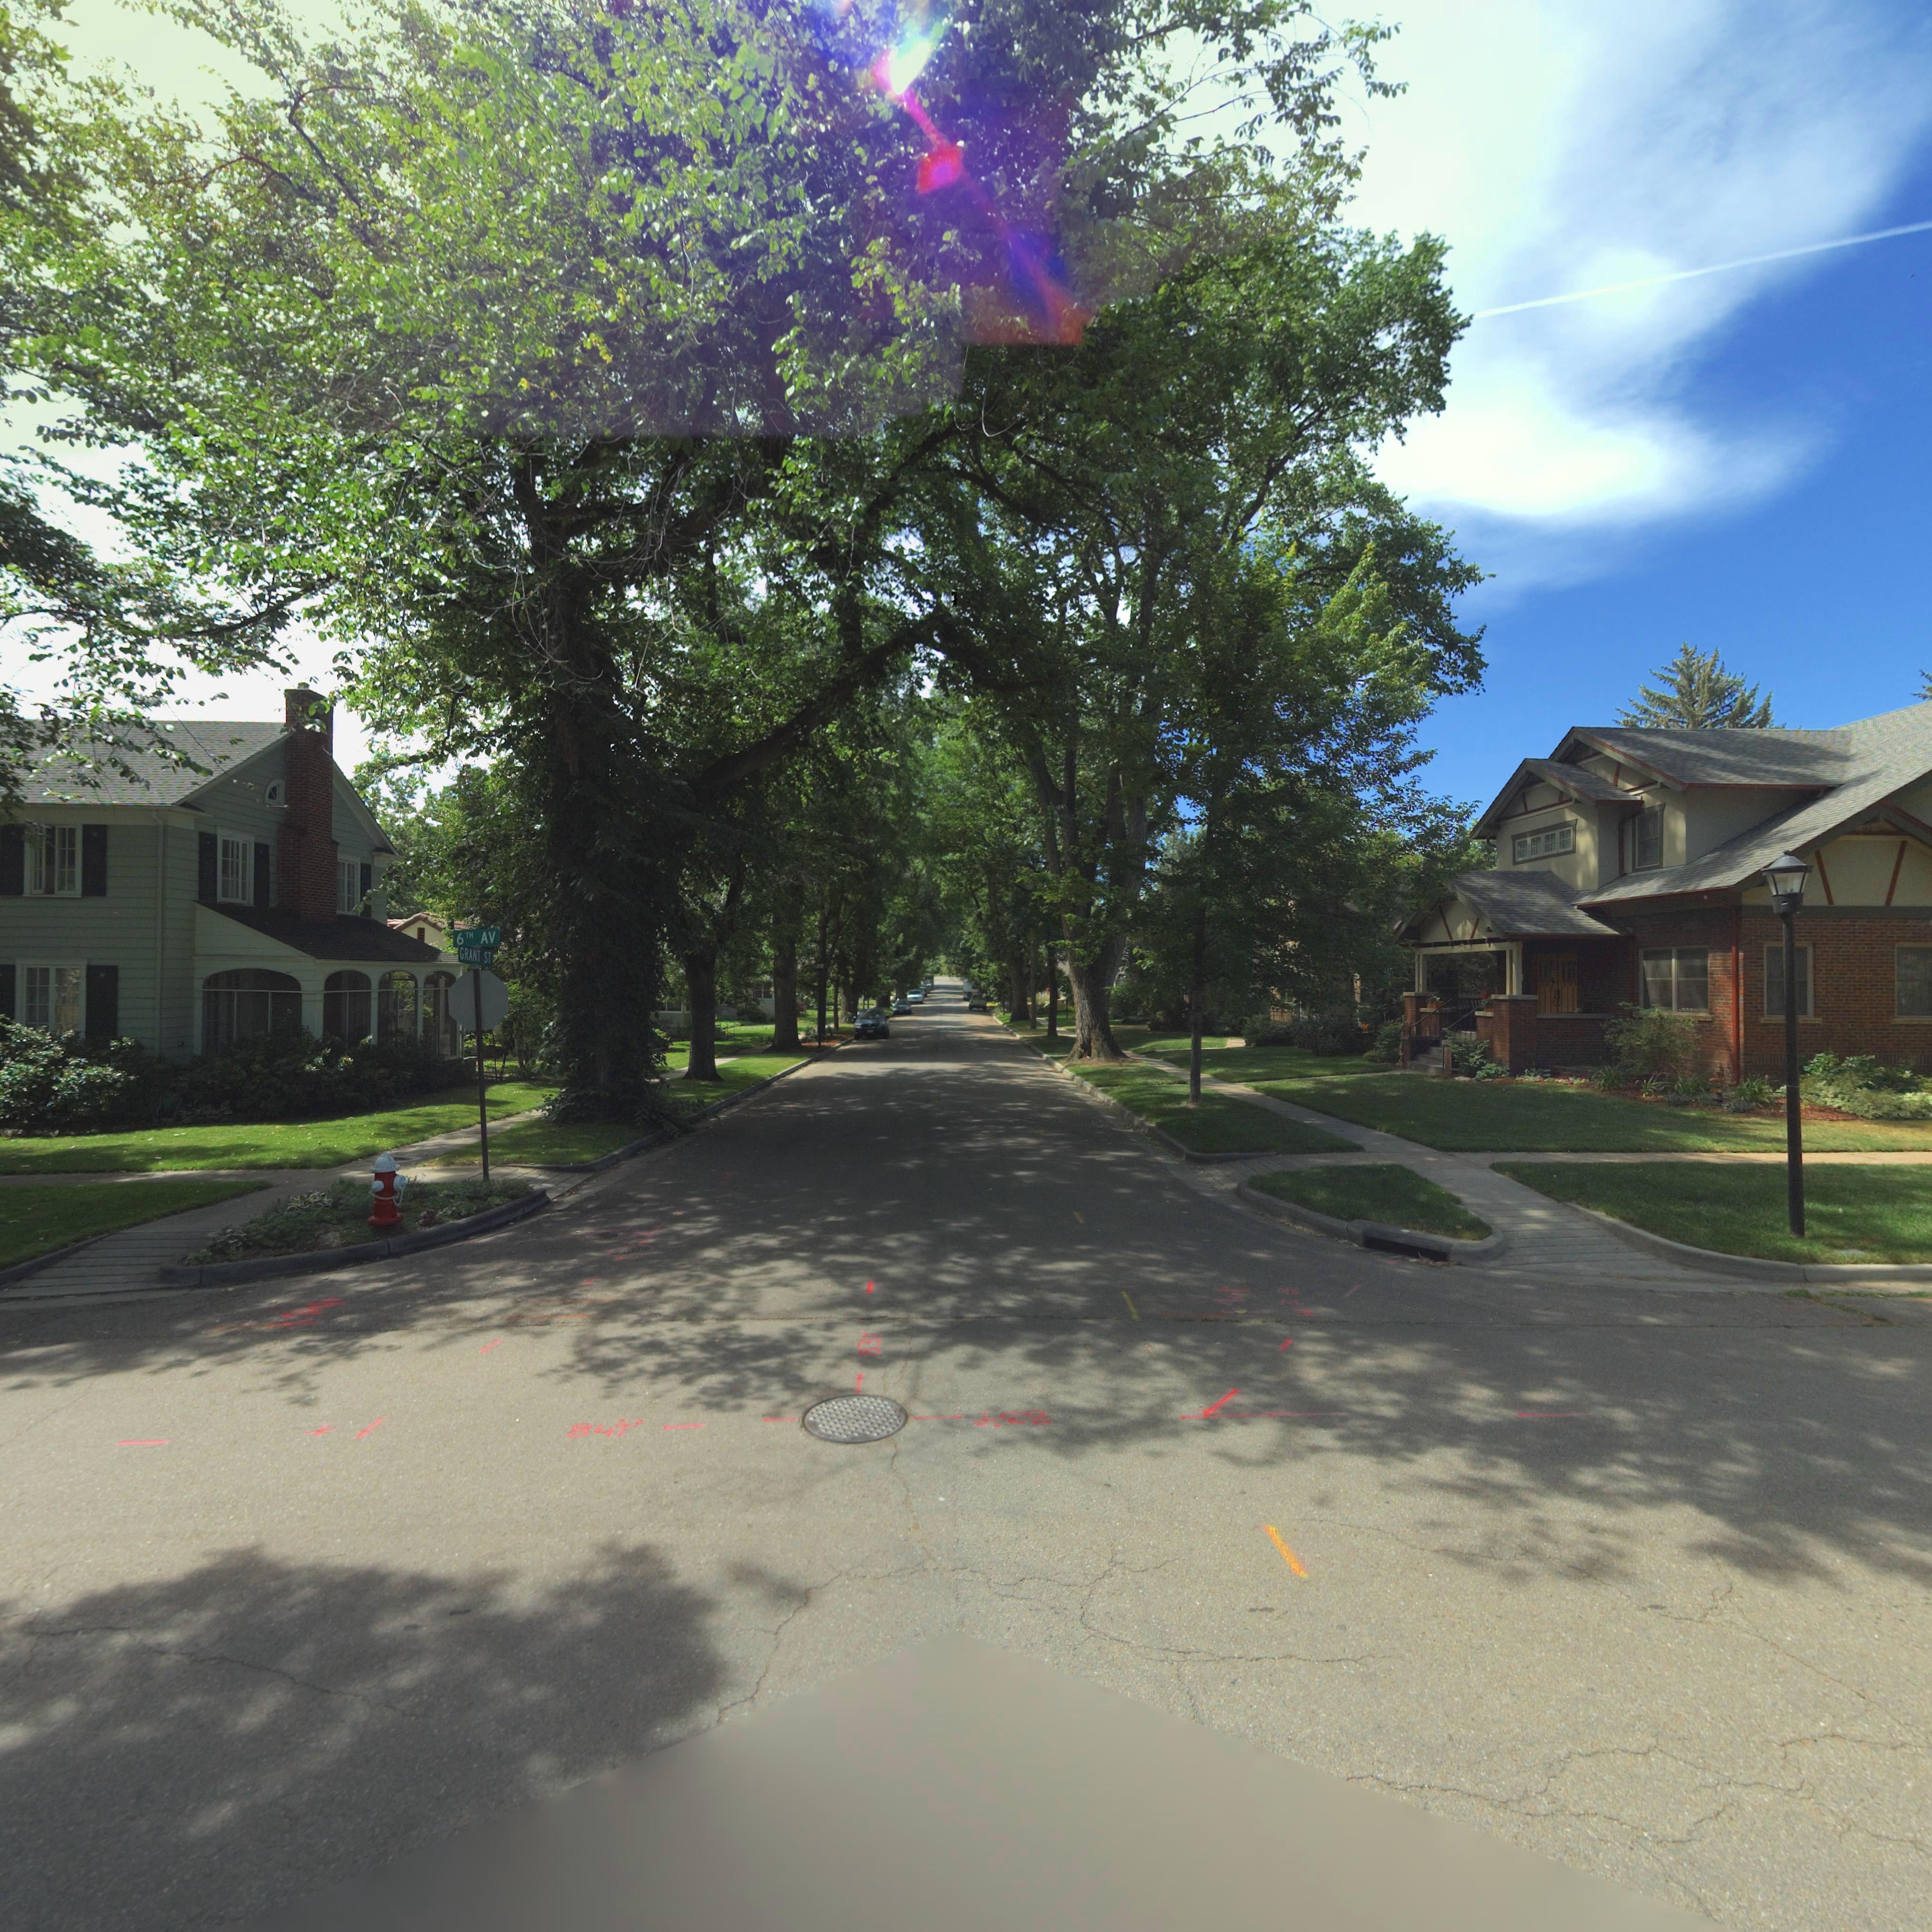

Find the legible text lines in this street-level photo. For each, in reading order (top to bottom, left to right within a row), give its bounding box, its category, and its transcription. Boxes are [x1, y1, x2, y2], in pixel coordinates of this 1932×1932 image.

[455, 930, 497, 946] StreetName: 6TH AV
[459, 947, 491, 964] StreetName: GRANT ST